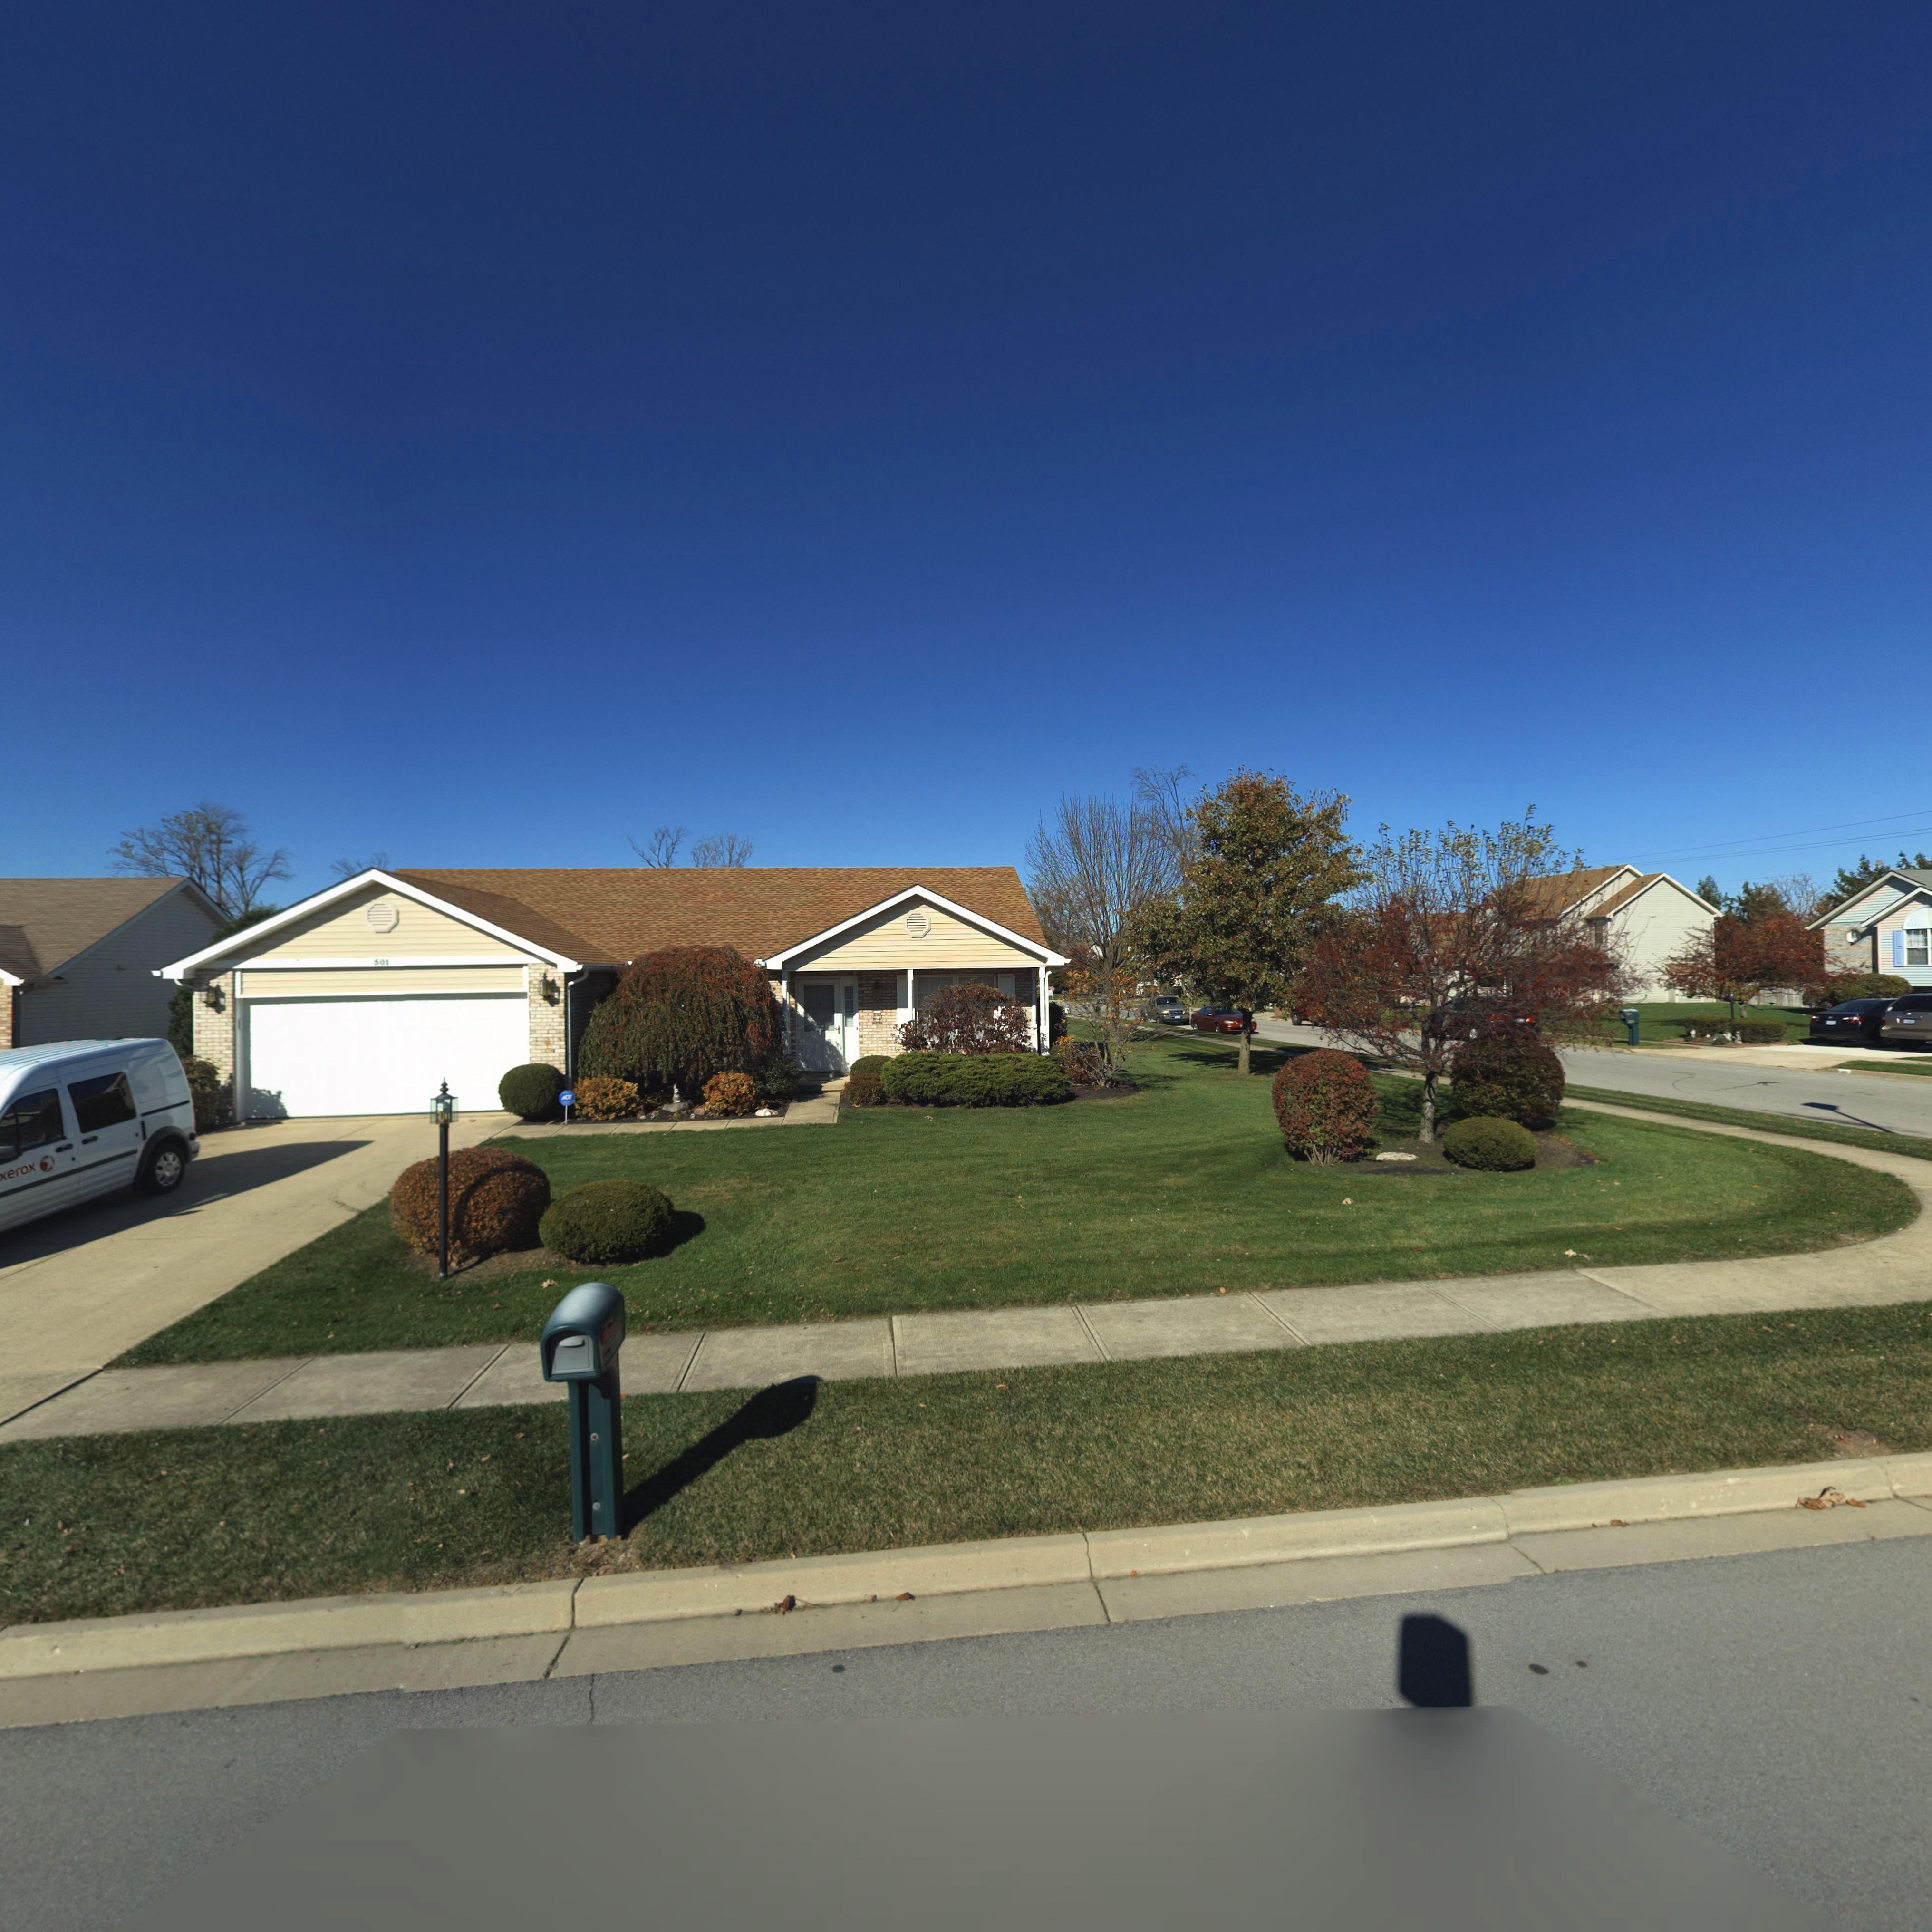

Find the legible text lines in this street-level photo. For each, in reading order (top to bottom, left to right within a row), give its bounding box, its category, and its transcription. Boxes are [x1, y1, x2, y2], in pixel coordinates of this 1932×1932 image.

[373, 958, 390, 966] StreetNumber: 501